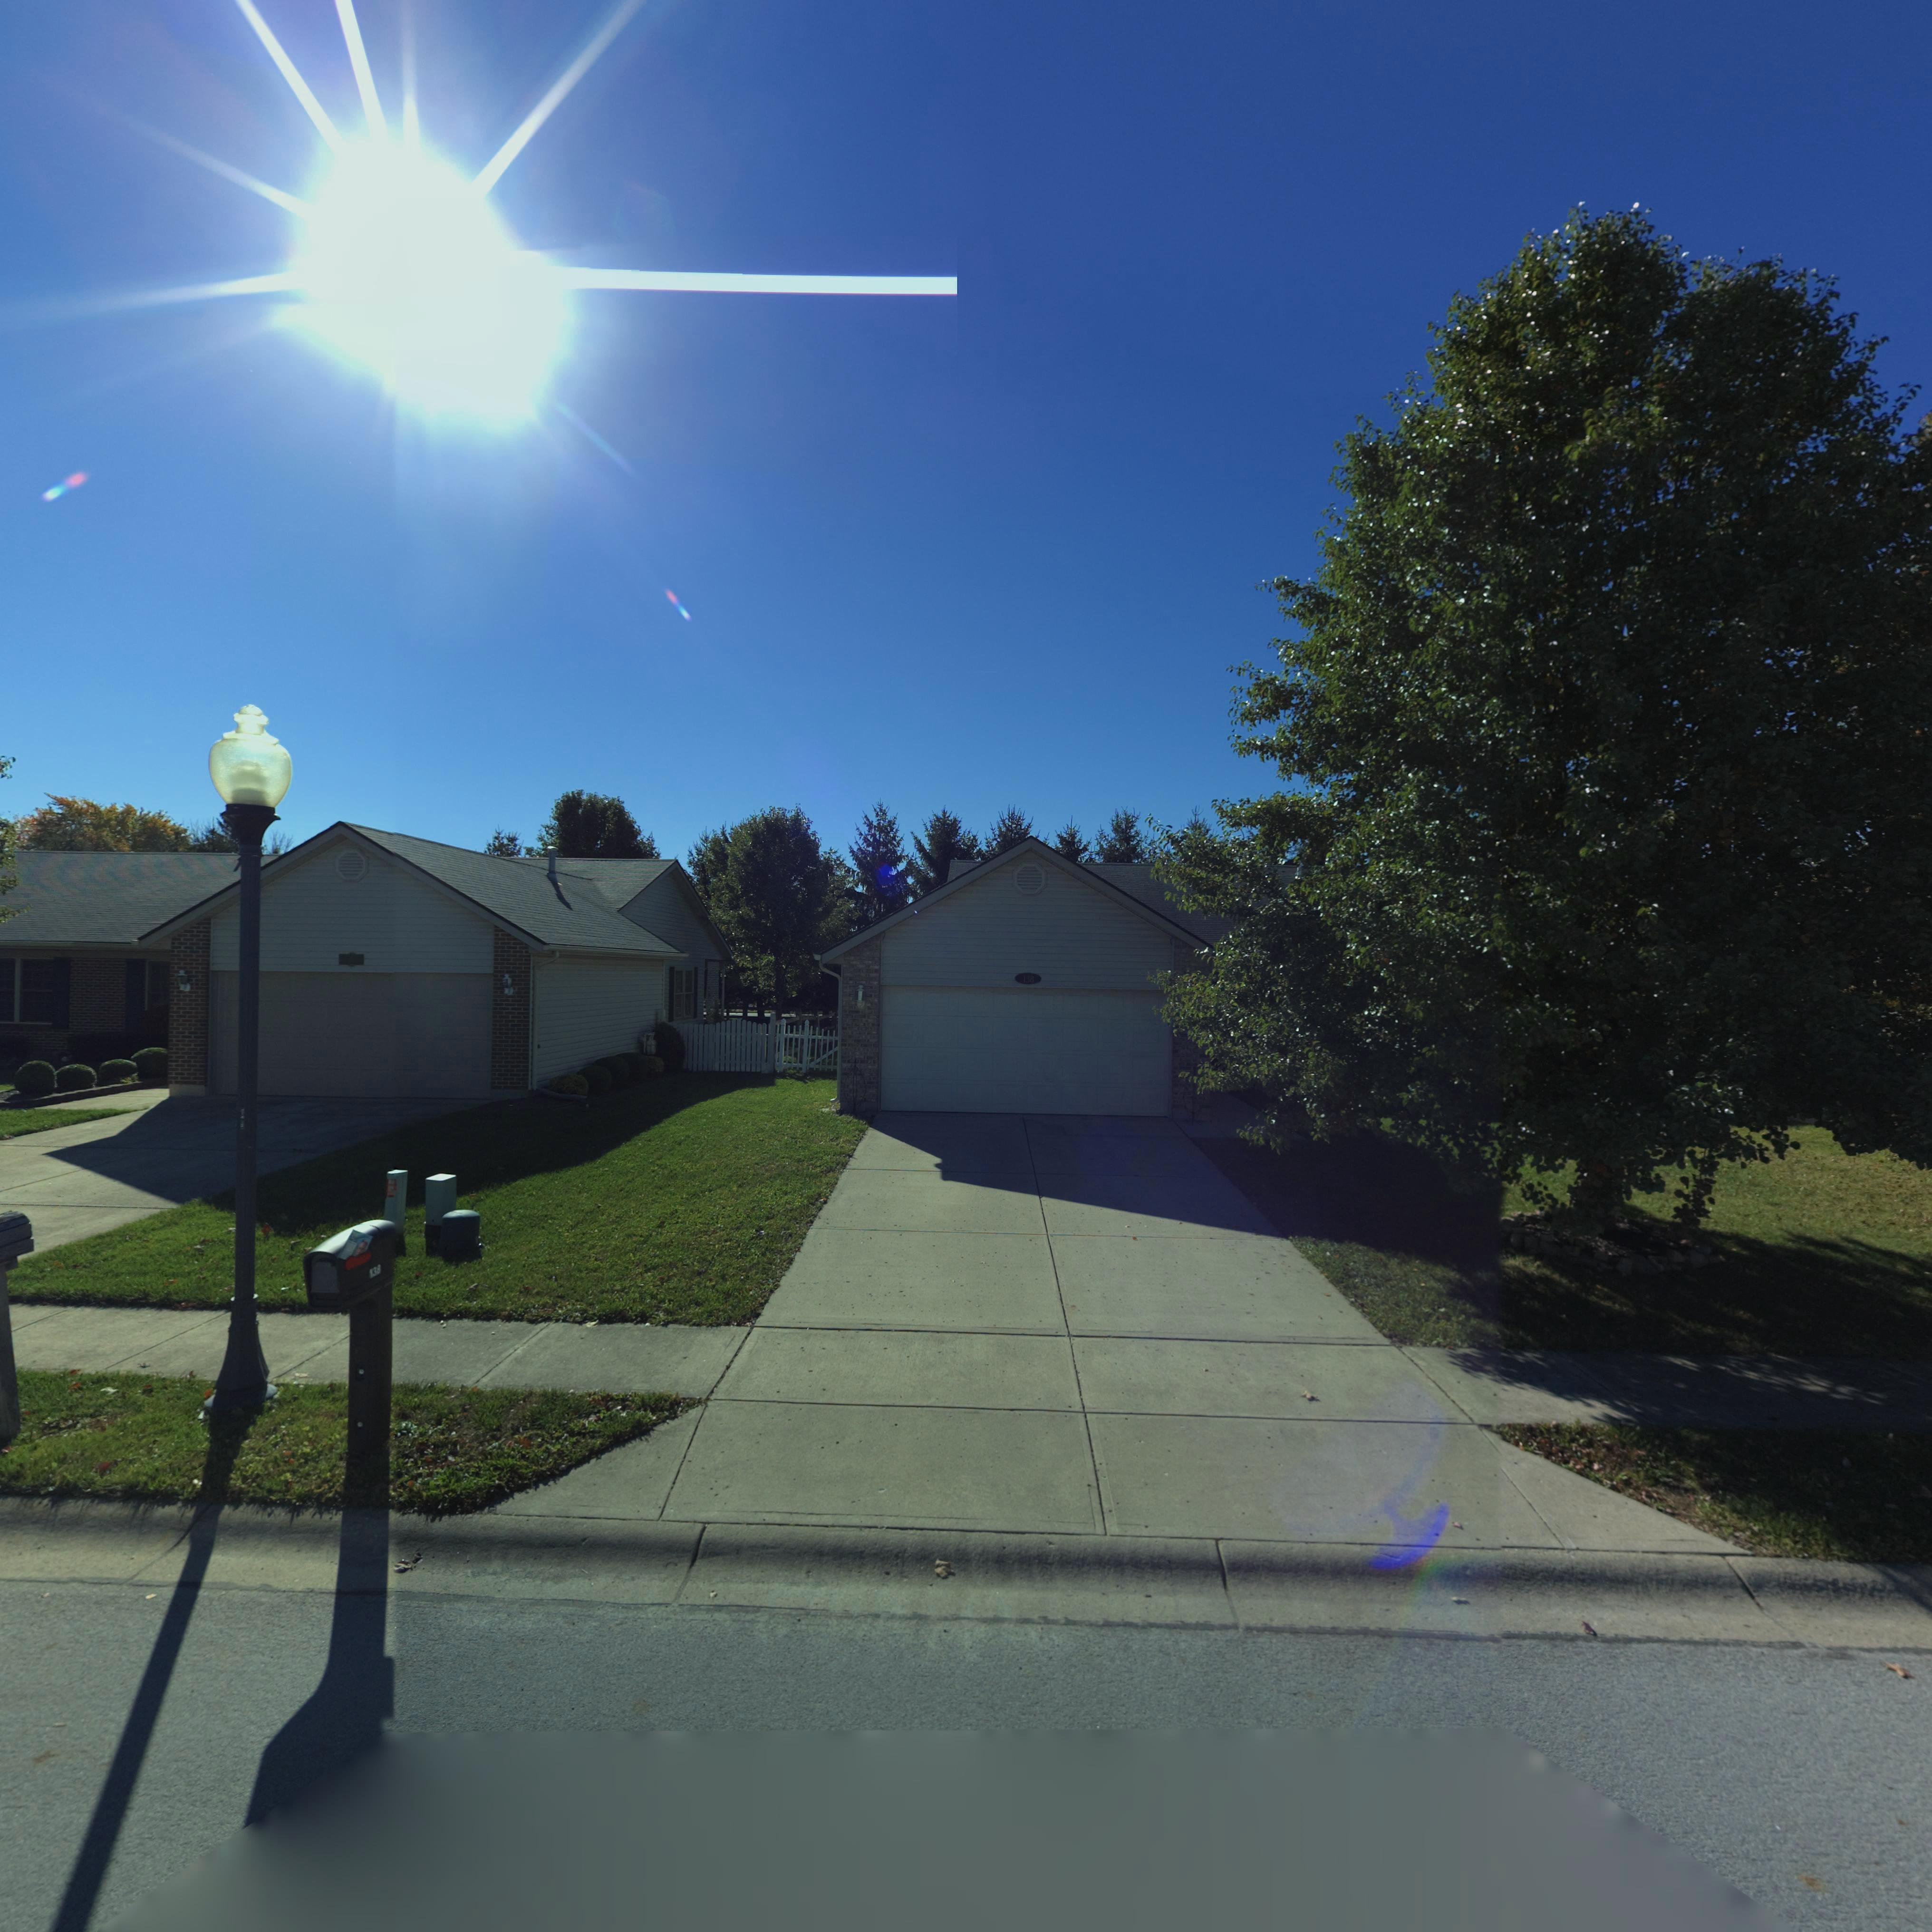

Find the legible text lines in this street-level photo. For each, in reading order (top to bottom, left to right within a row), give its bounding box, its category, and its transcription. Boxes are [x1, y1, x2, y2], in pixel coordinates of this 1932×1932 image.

[1023, 975, 1034, 983] StreetNumber: 138
[368, 1263, 381, 1279] StreetNumber: 138